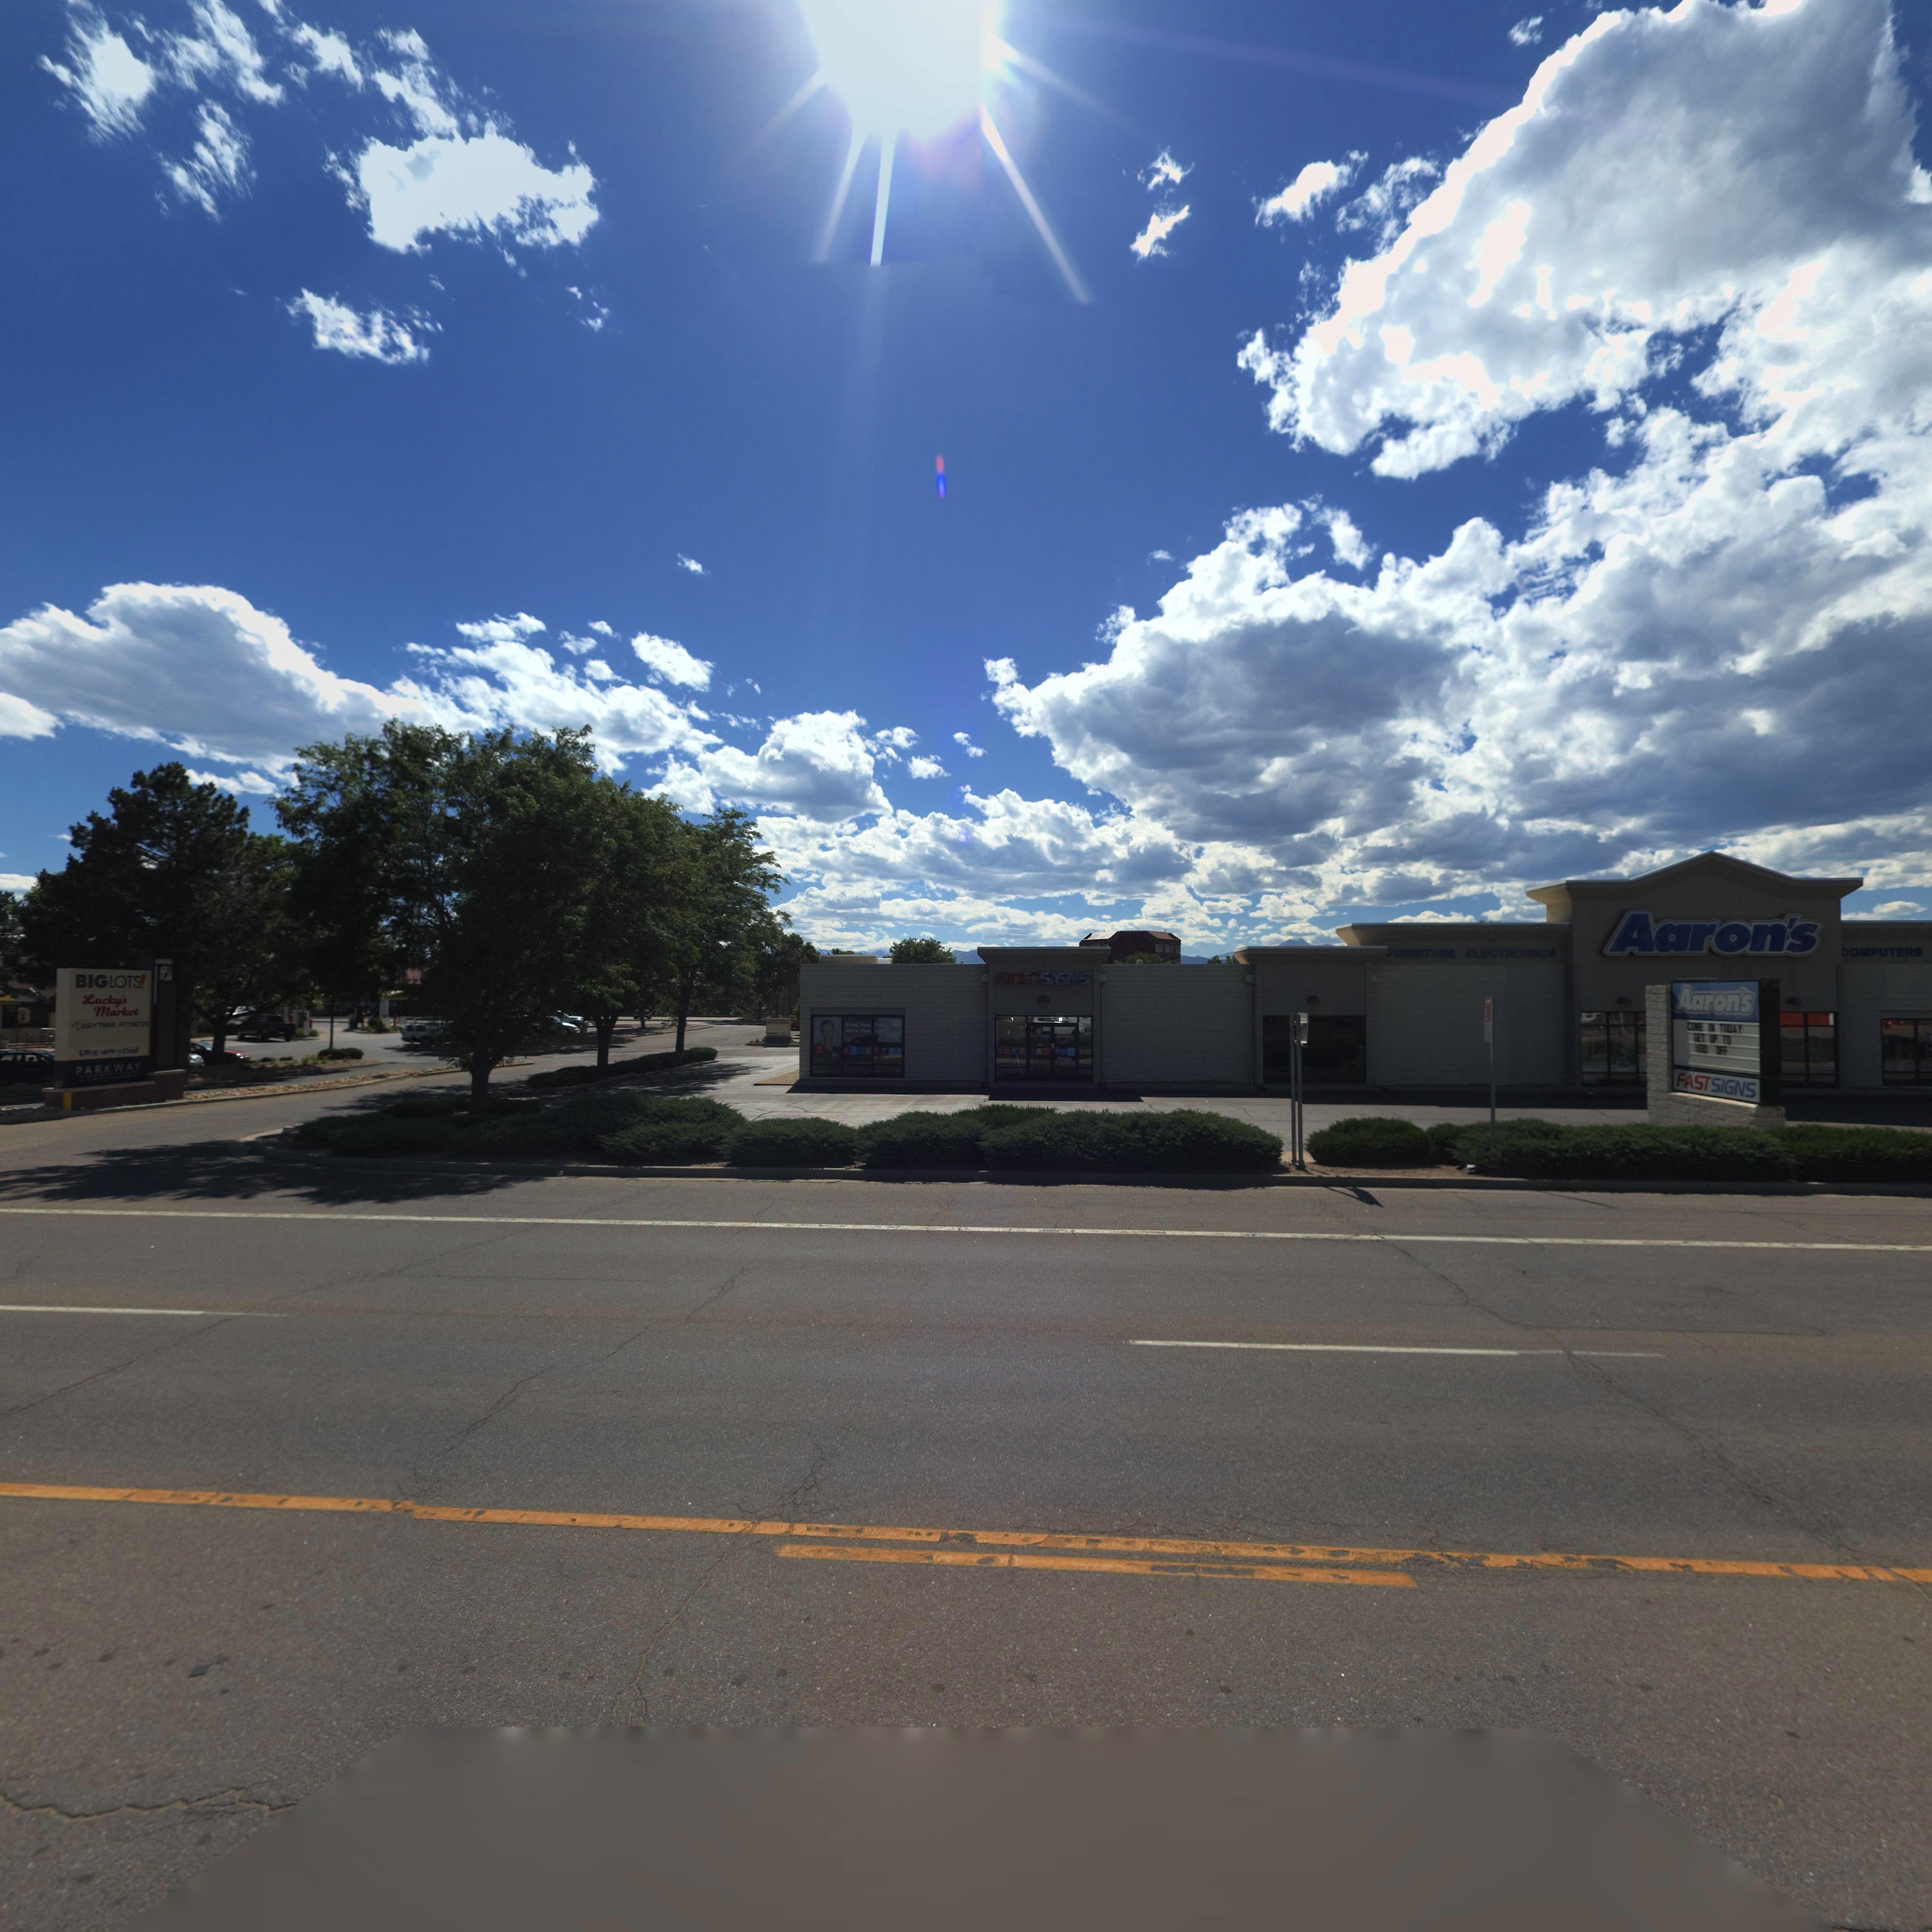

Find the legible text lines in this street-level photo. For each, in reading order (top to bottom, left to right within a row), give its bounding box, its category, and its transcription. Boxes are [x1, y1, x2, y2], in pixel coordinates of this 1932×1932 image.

[1607, 912, 1819, 953] BusinessName: Aaron's
[75, 974, 142, 988] BusinessName: BIG LOTS
[995, 971, 1092, 985] BusinessName: FAST SIGNS
[81, 993, 127, 1008] BusinessName: Lucky's
[1675, 986, 1754, 1014] BusinessName: Aaron's
[93, 1005, 140, 1017] BusinessName: Market
[80, 1021, 150, 1029] BusinessName: ANYTIME FITNESS
[1036, 1027, 1044, 1032] StreetNumber: 203
[1675, 1072, 1757, 1099] BusinessName: FAST SIGNS